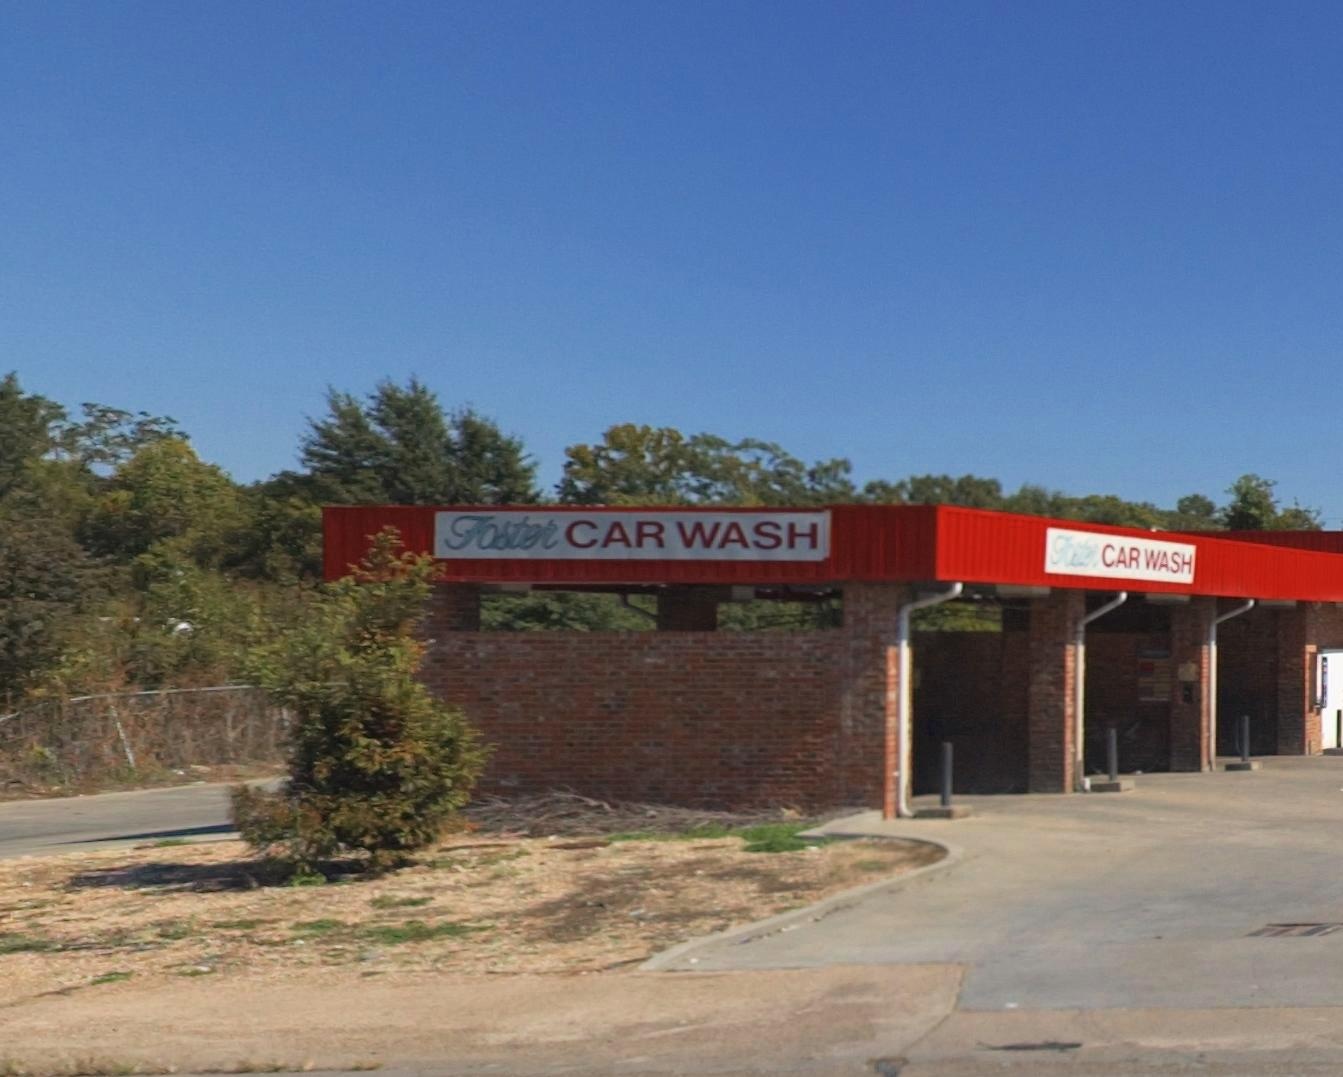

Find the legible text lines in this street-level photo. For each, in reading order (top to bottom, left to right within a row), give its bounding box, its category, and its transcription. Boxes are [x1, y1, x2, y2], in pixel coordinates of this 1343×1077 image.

[436, 511, 821, 554] BusinessName: Foster CAR WASH
[1047, 530, 1195, 578] BusinessName: Foster CAR WASH